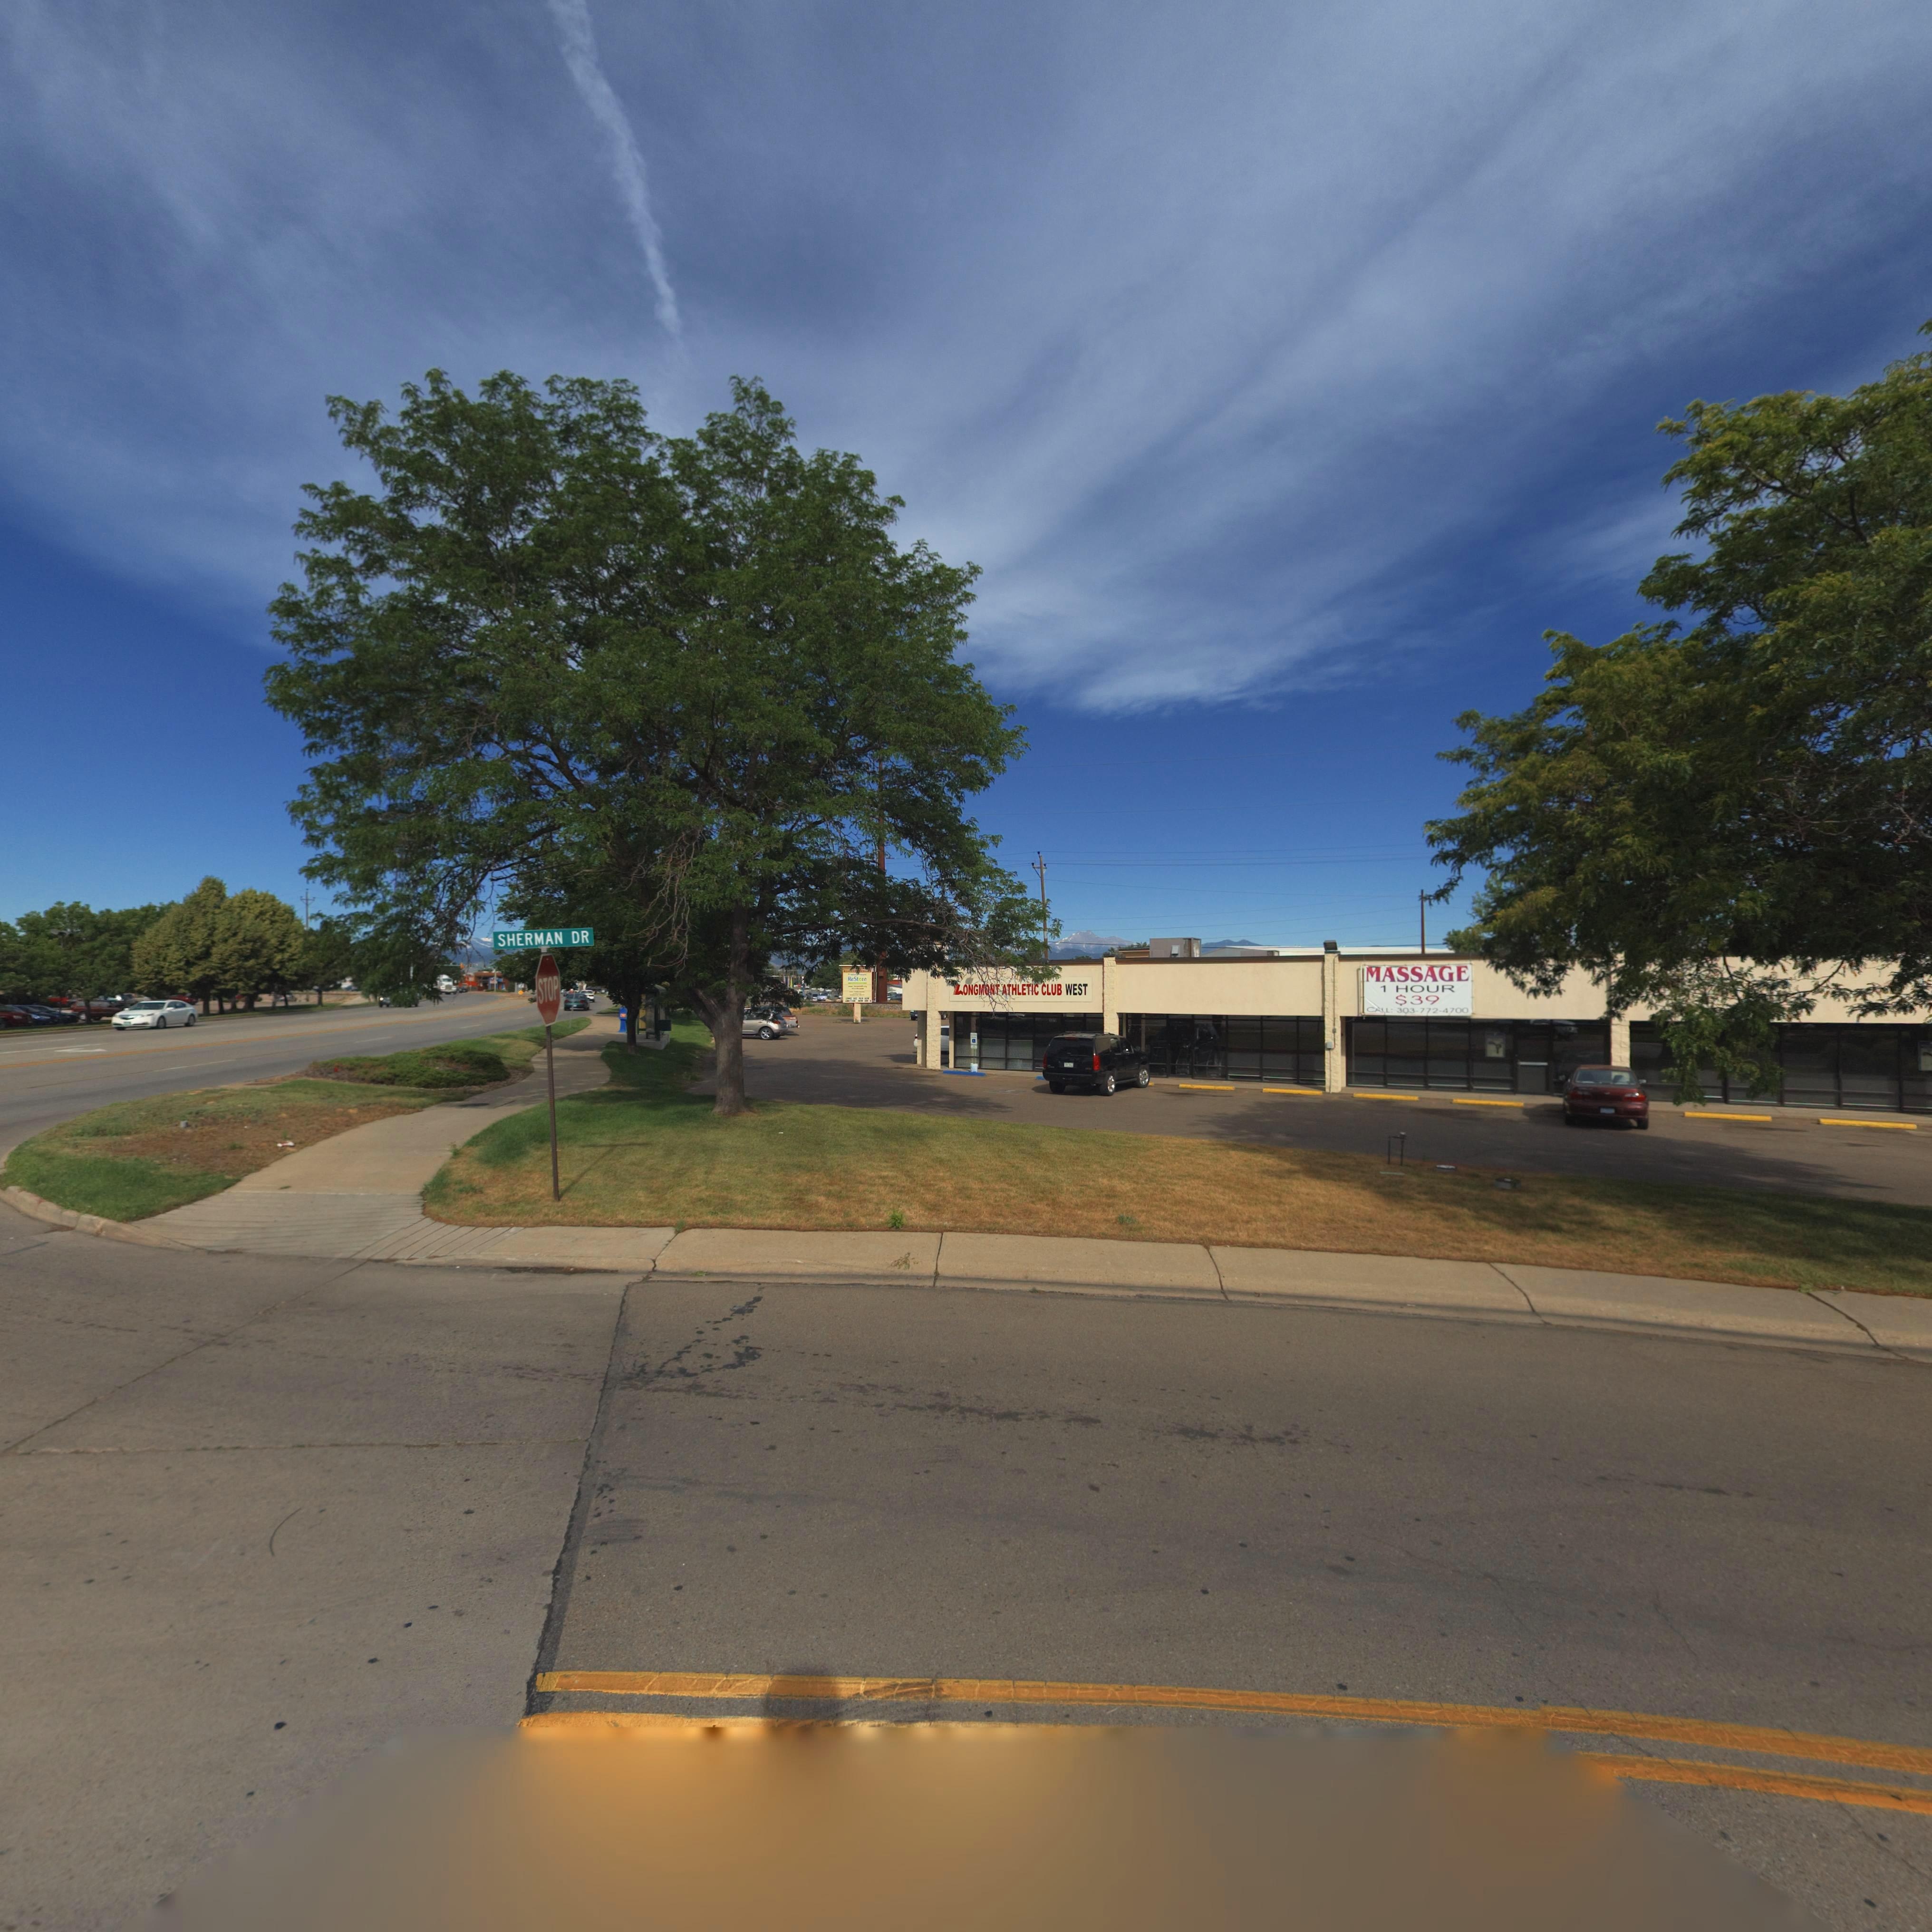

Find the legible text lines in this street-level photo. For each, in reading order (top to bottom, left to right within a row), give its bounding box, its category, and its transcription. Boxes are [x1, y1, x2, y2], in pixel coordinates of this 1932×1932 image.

[497, 929, 590, 947] StreetName: SHERMAN DR
[847, 976, 867, 981] BusinessName: ReStore
[953, 983, 1088, 995] BusinessName: LONGMONT ATHLETIC CLUB WEST